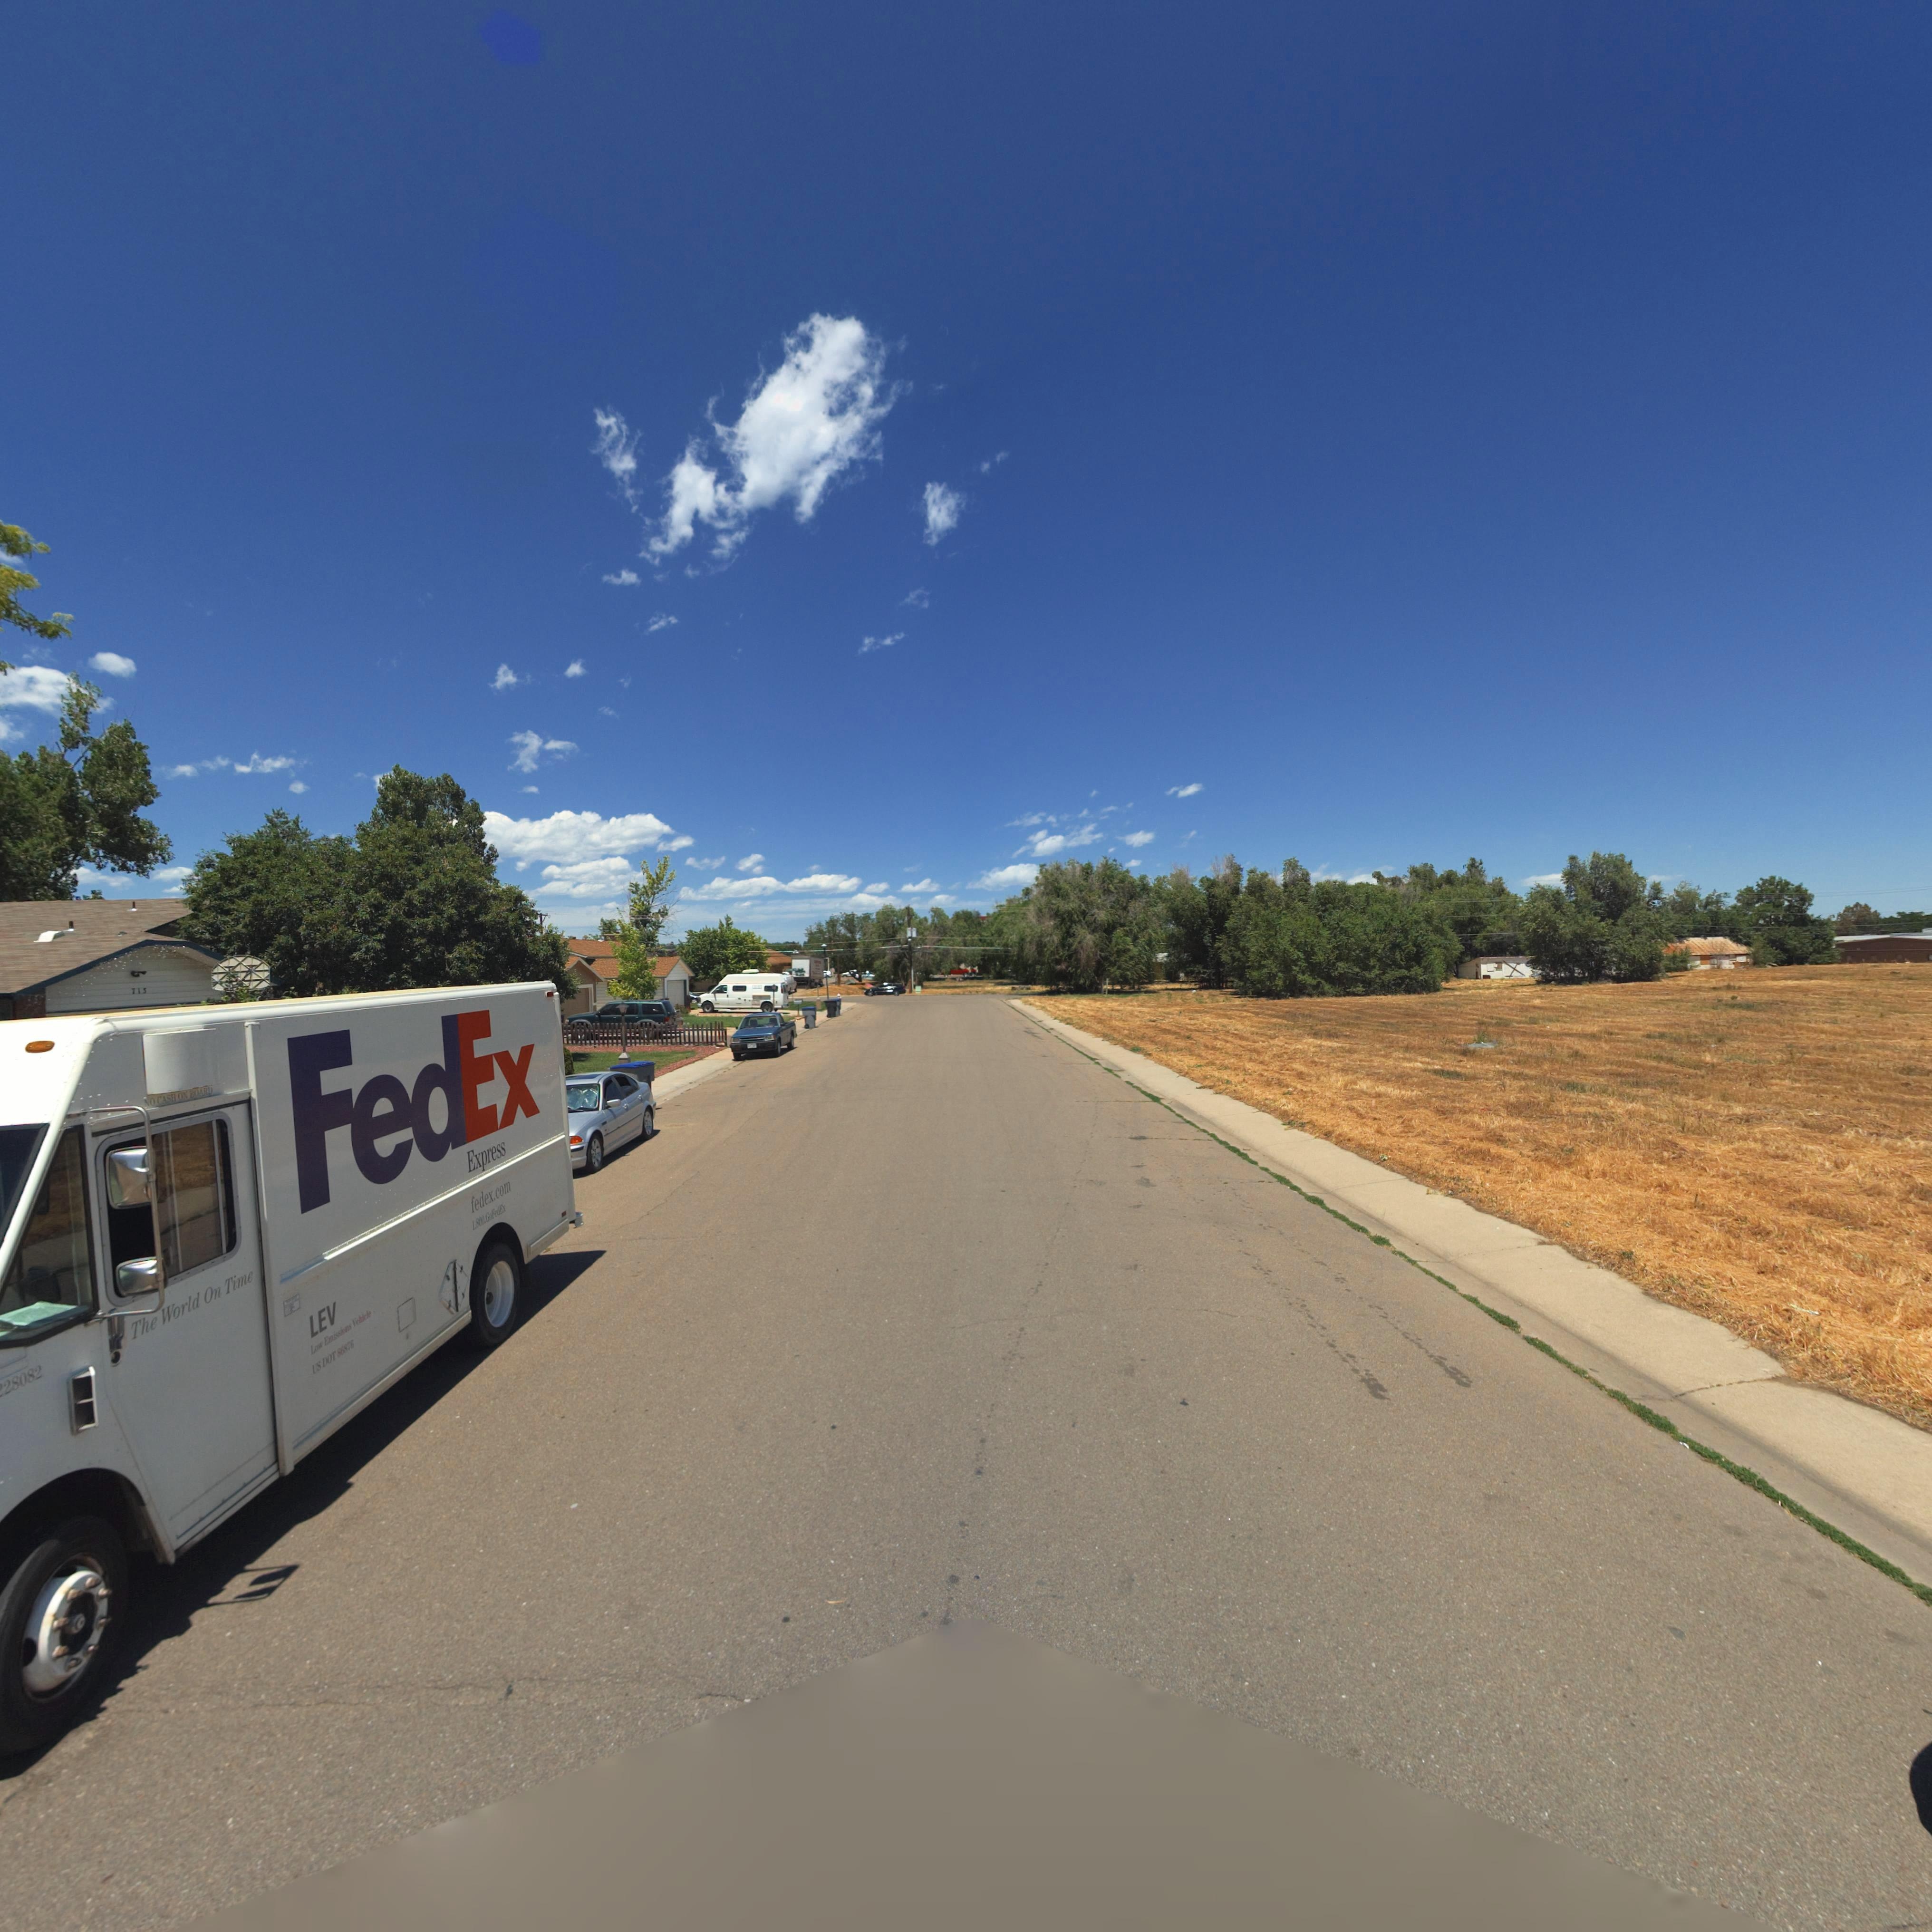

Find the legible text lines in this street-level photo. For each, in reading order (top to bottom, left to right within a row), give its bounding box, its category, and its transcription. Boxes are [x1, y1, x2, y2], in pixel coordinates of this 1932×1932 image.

[131, 987, 146, 995] StreetNumber: 715